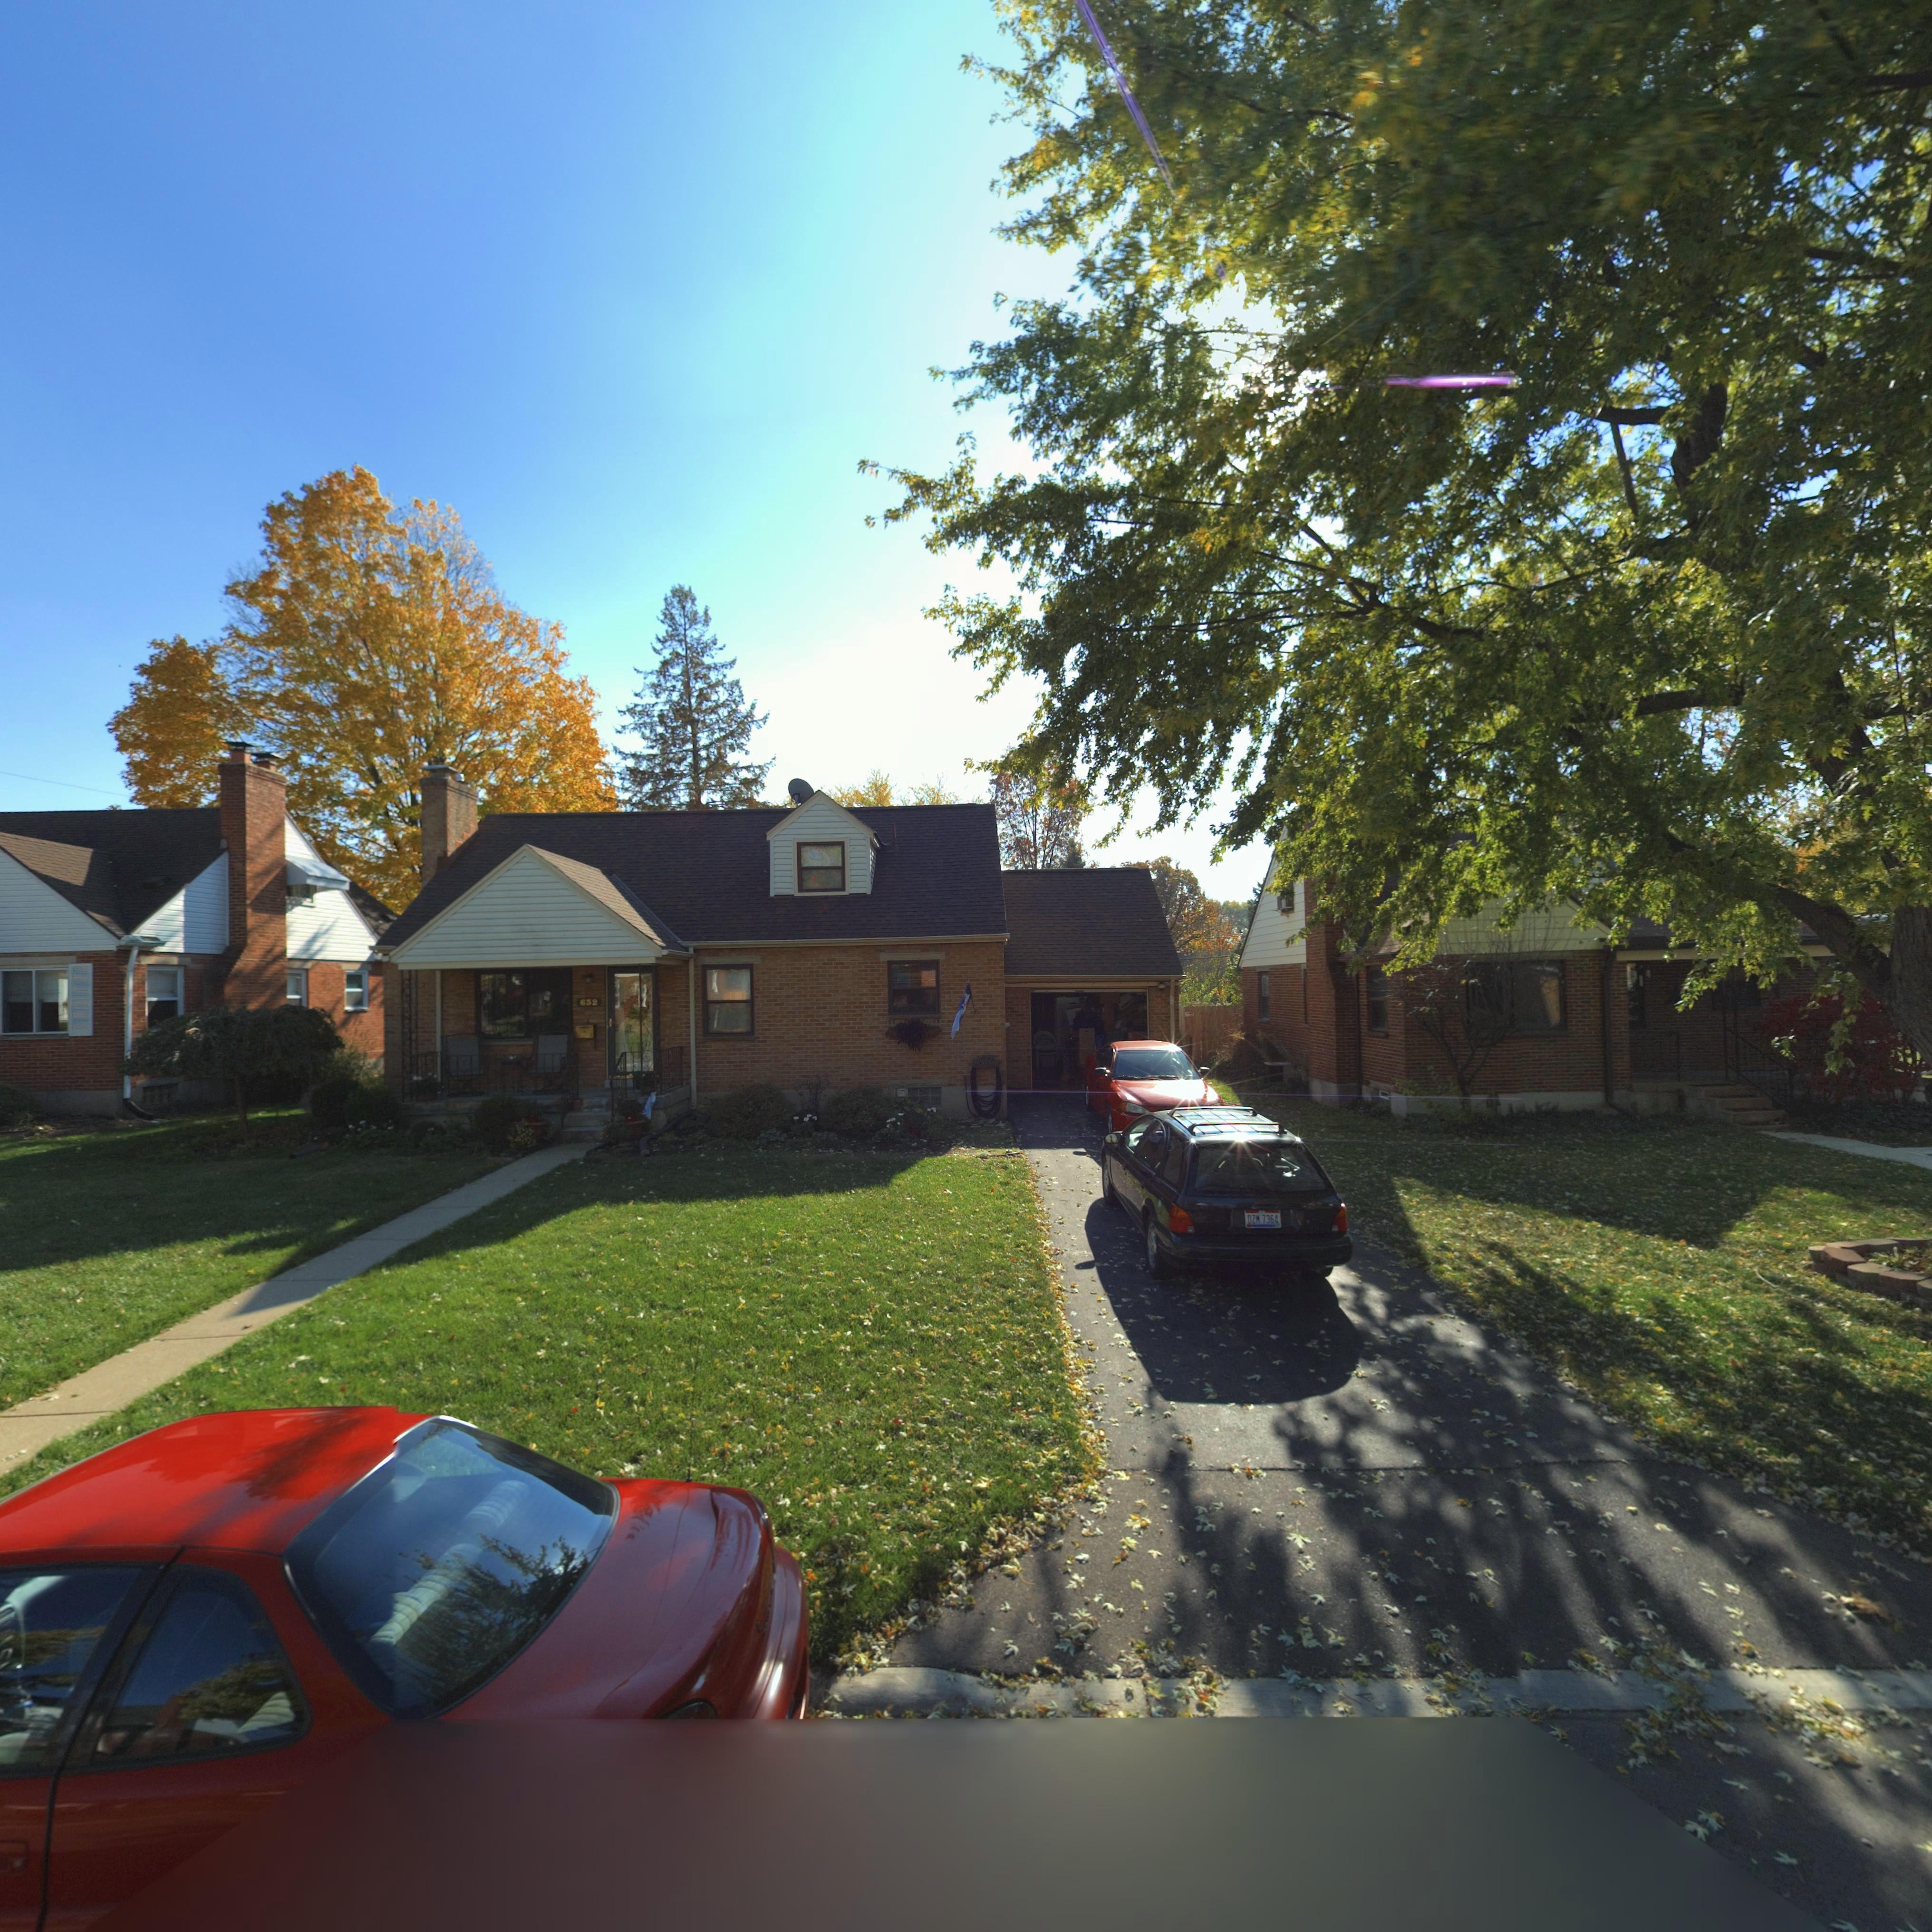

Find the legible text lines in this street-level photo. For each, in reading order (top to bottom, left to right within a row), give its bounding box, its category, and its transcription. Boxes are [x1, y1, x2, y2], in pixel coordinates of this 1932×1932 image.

[579, 999, 598, 1006] StreetNumber: 632
[1246, 1214, 1279, 1225] None: DZM*7364